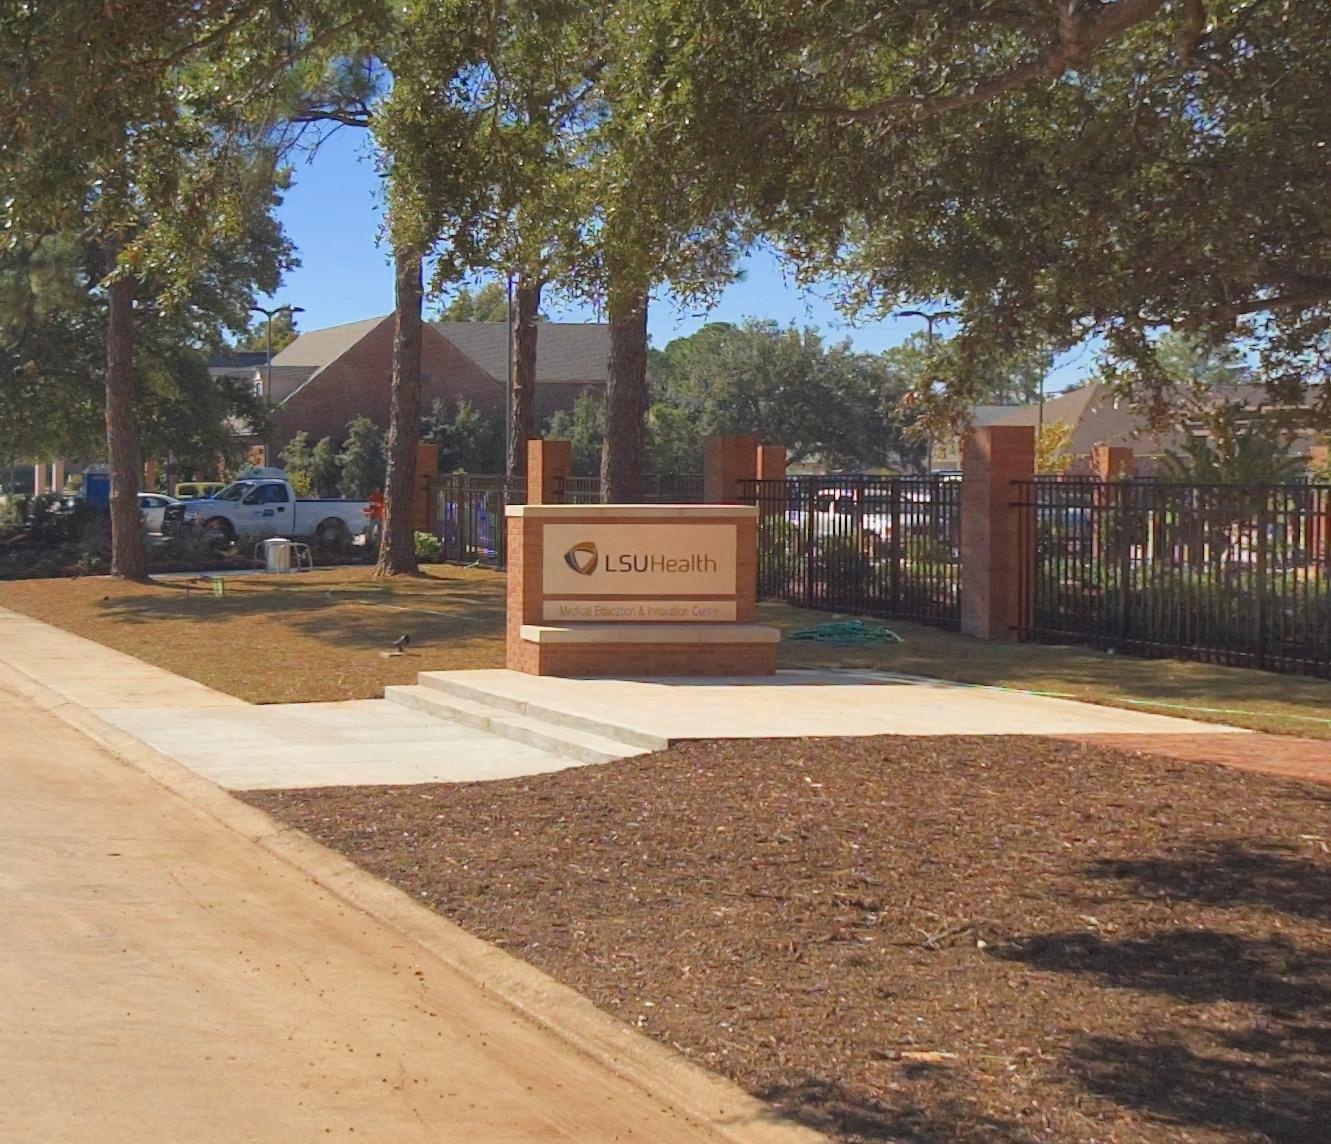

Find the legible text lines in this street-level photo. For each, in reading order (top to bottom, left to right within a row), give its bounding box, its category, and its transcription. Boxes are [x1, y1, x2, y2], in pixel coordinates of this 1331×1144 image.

[604, 552, 718, 575] BusinessName: LSUHealth
[558, 604, 720, 618] None: Medical Education & Innovation Center